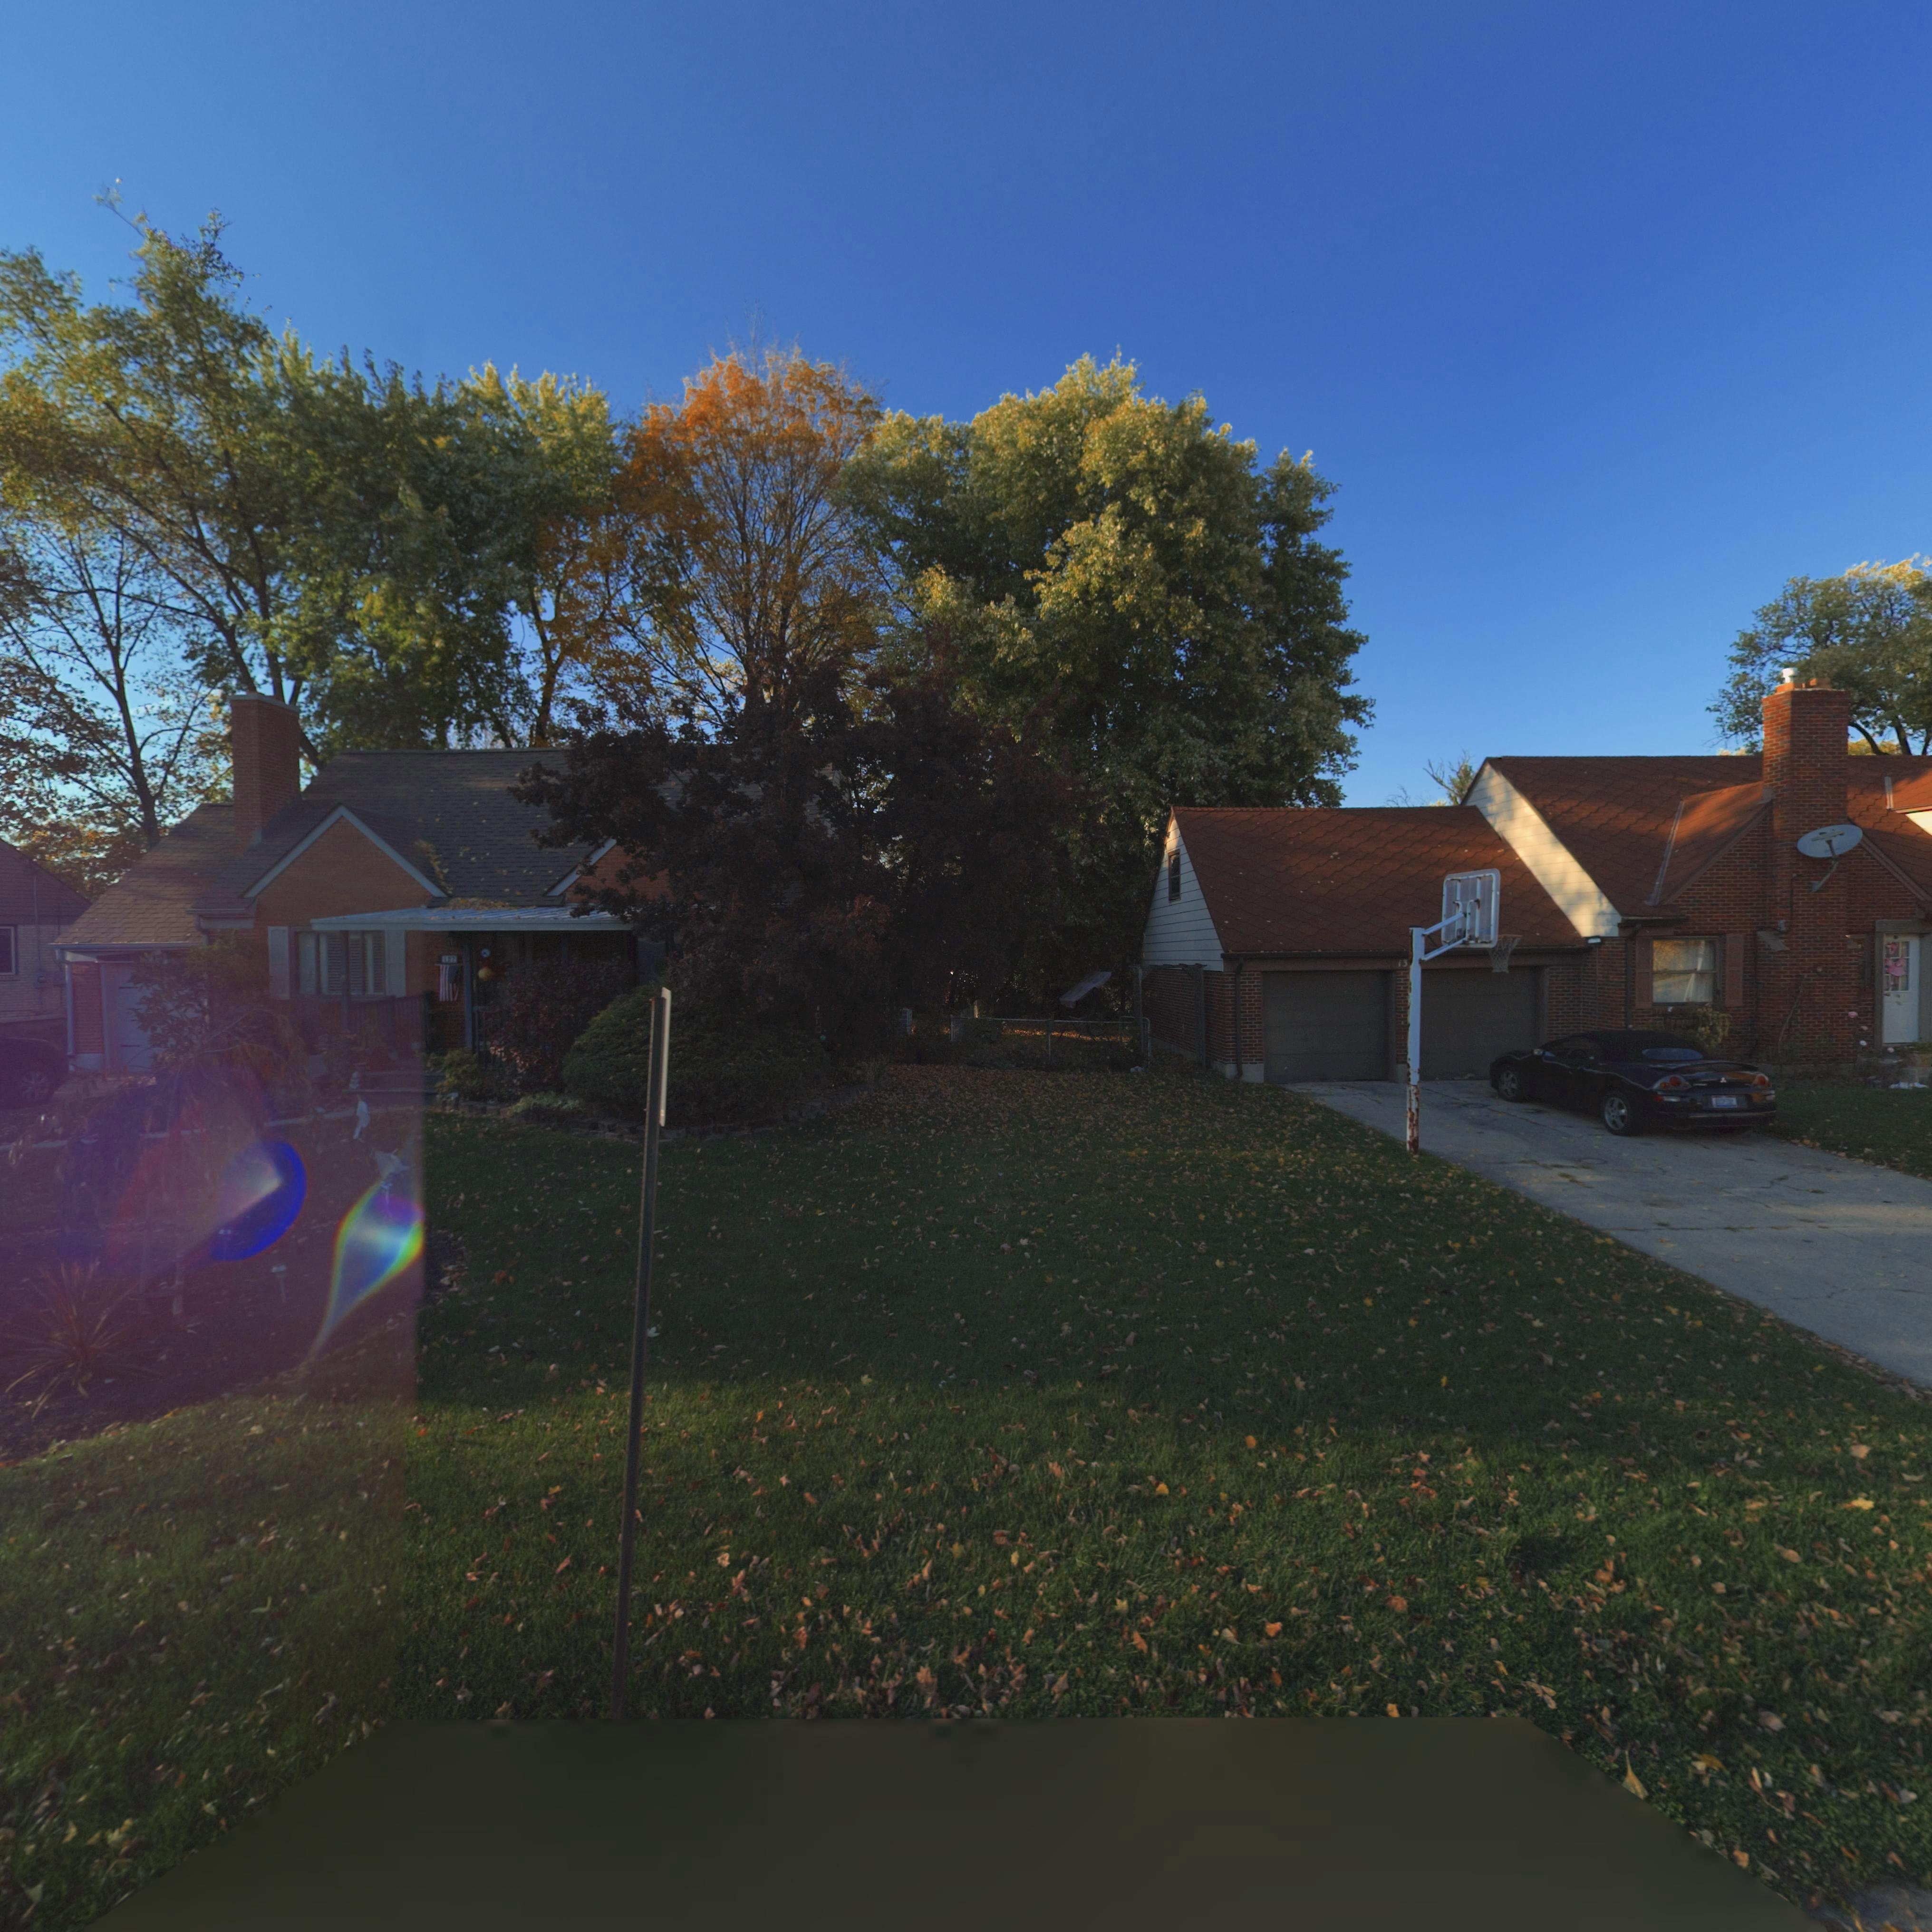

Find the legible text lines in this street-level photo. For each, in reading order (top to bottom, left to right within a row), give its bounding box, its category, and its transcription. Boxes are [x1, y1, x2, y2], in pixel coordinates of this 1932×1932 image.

[1397, 958, 1409, 968] StreetNumber: 13